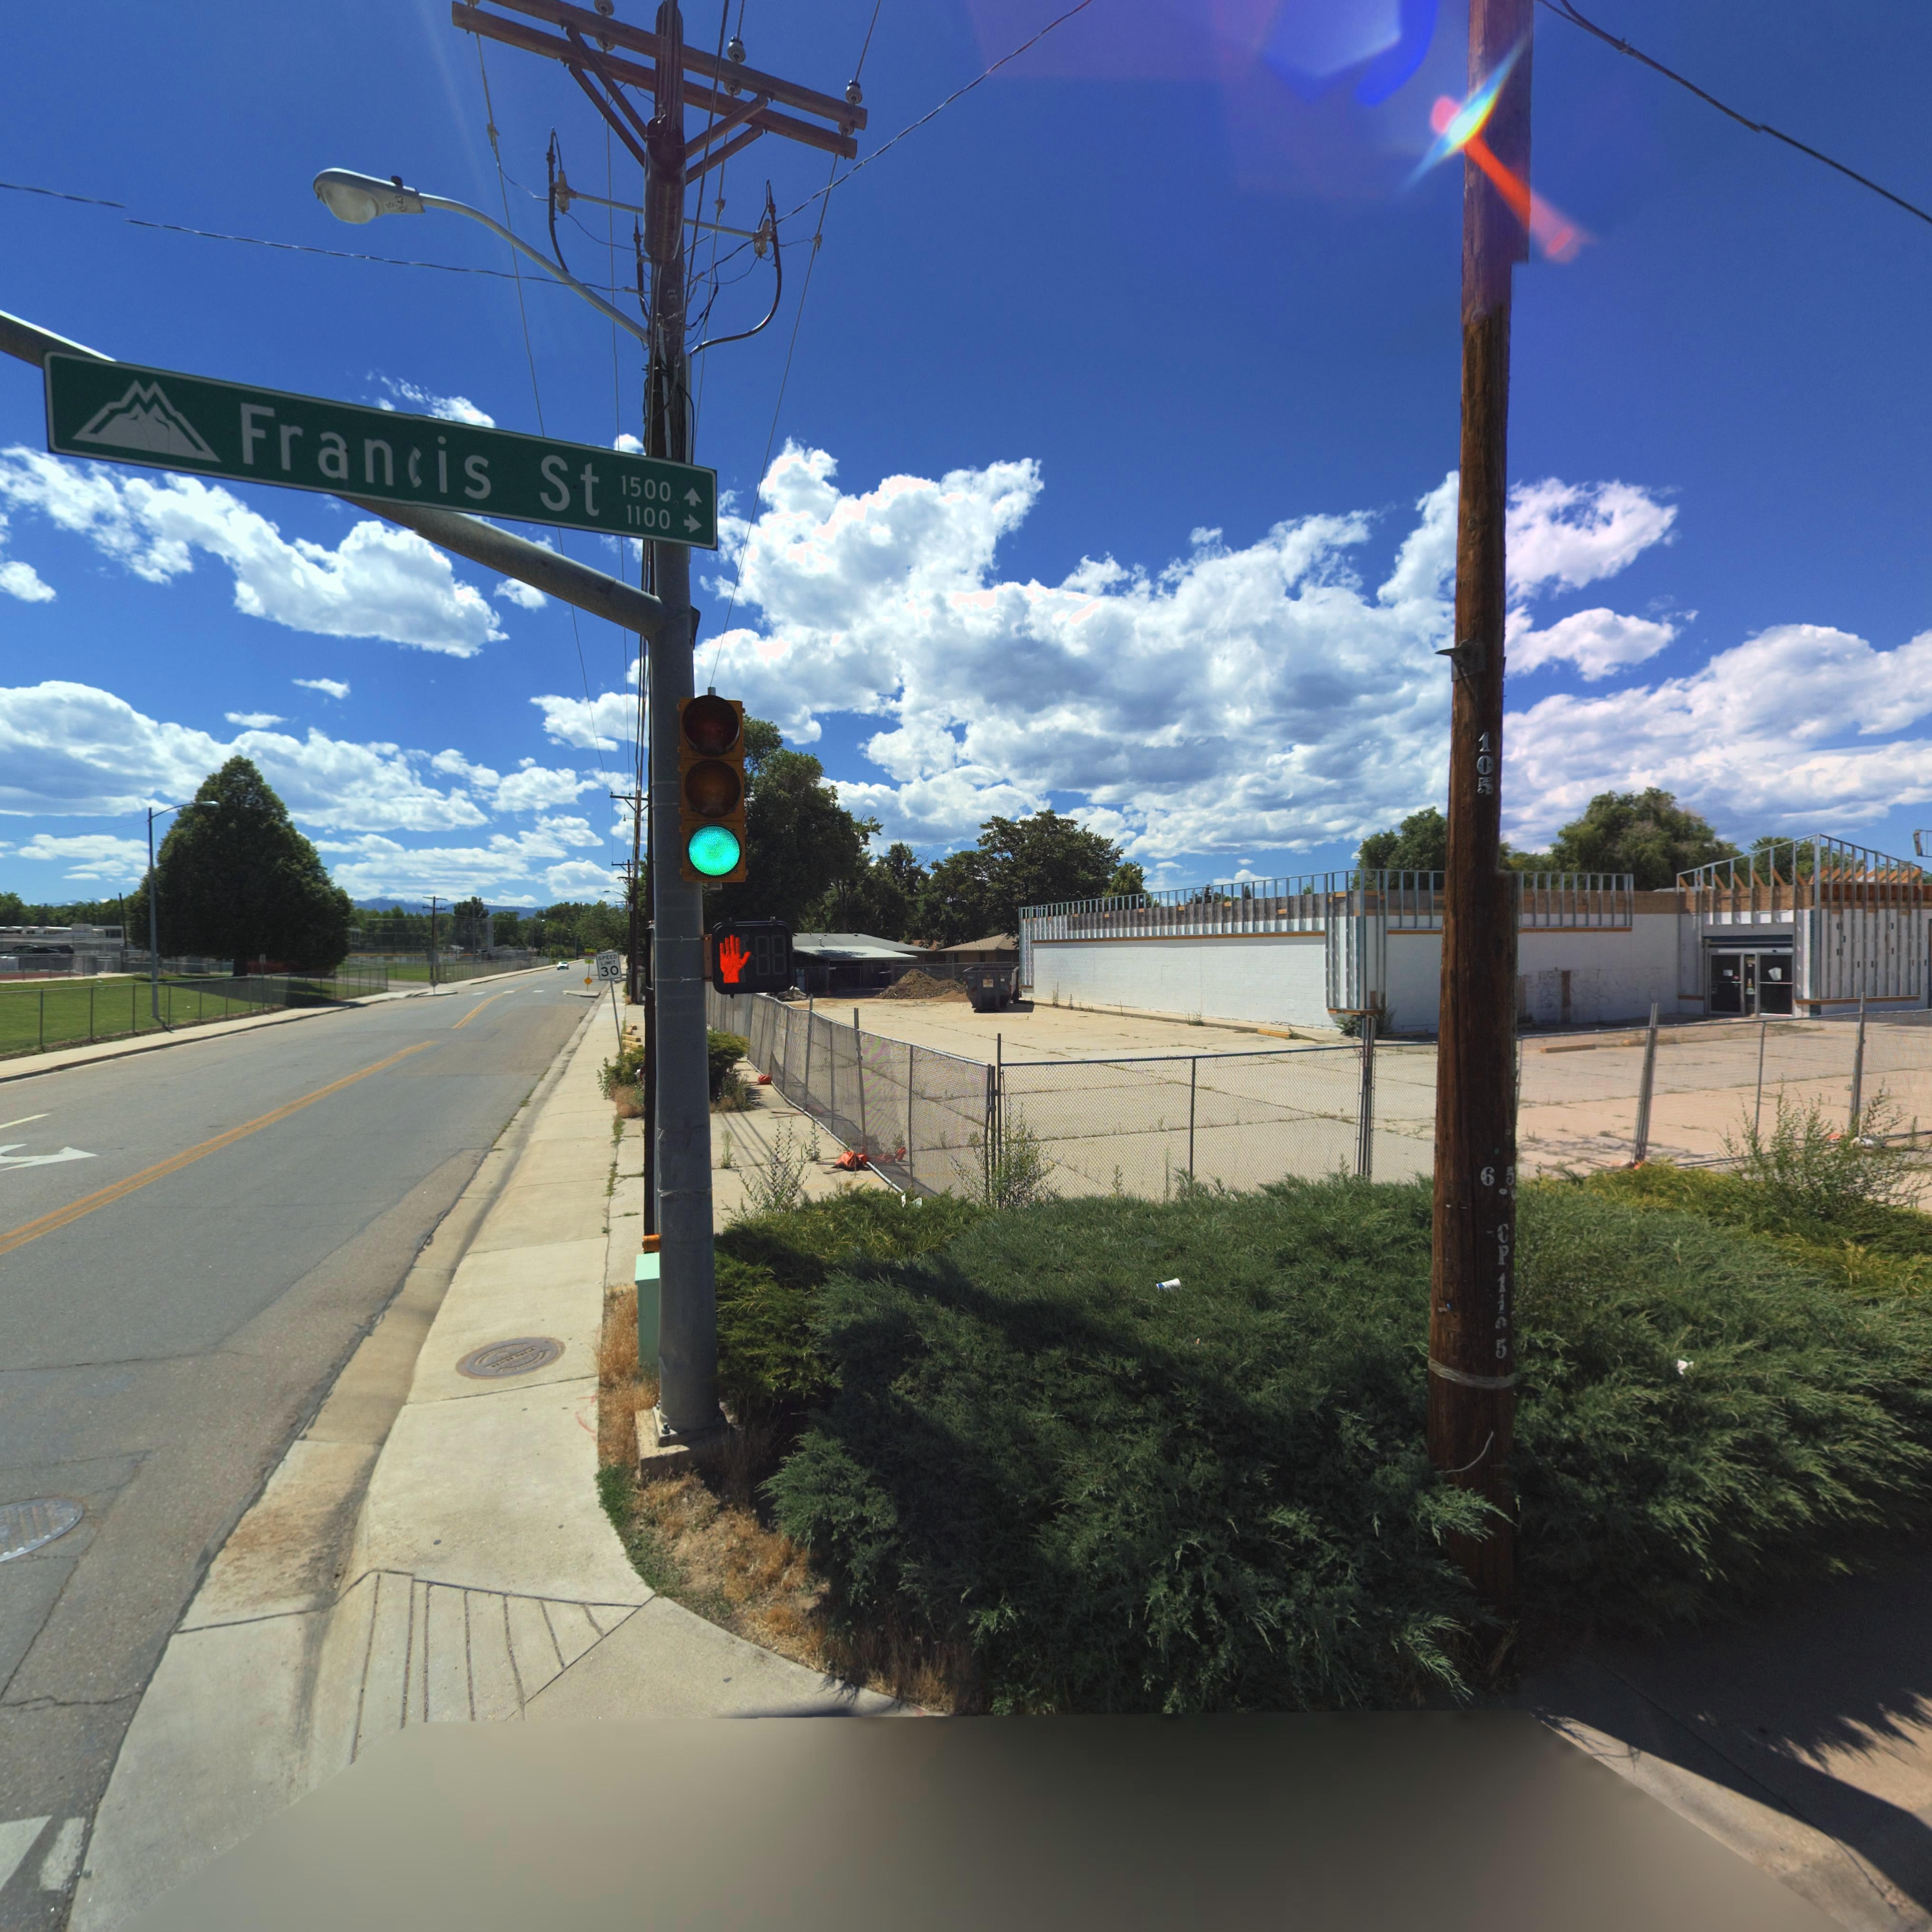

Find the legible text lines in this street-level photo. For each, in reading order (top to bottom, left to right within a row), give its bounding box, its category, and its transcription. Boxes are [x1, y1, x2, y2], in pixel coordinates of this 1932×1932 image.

[232, 391, 606, 521] StreetName: Francis St
[621, 475, 674, 502] StreetNumberRange: 1500
[623, 504, 704, 537] StreetNumberRange: 1100->
[1474, 729, 1497, 795] StreetNumber: 105